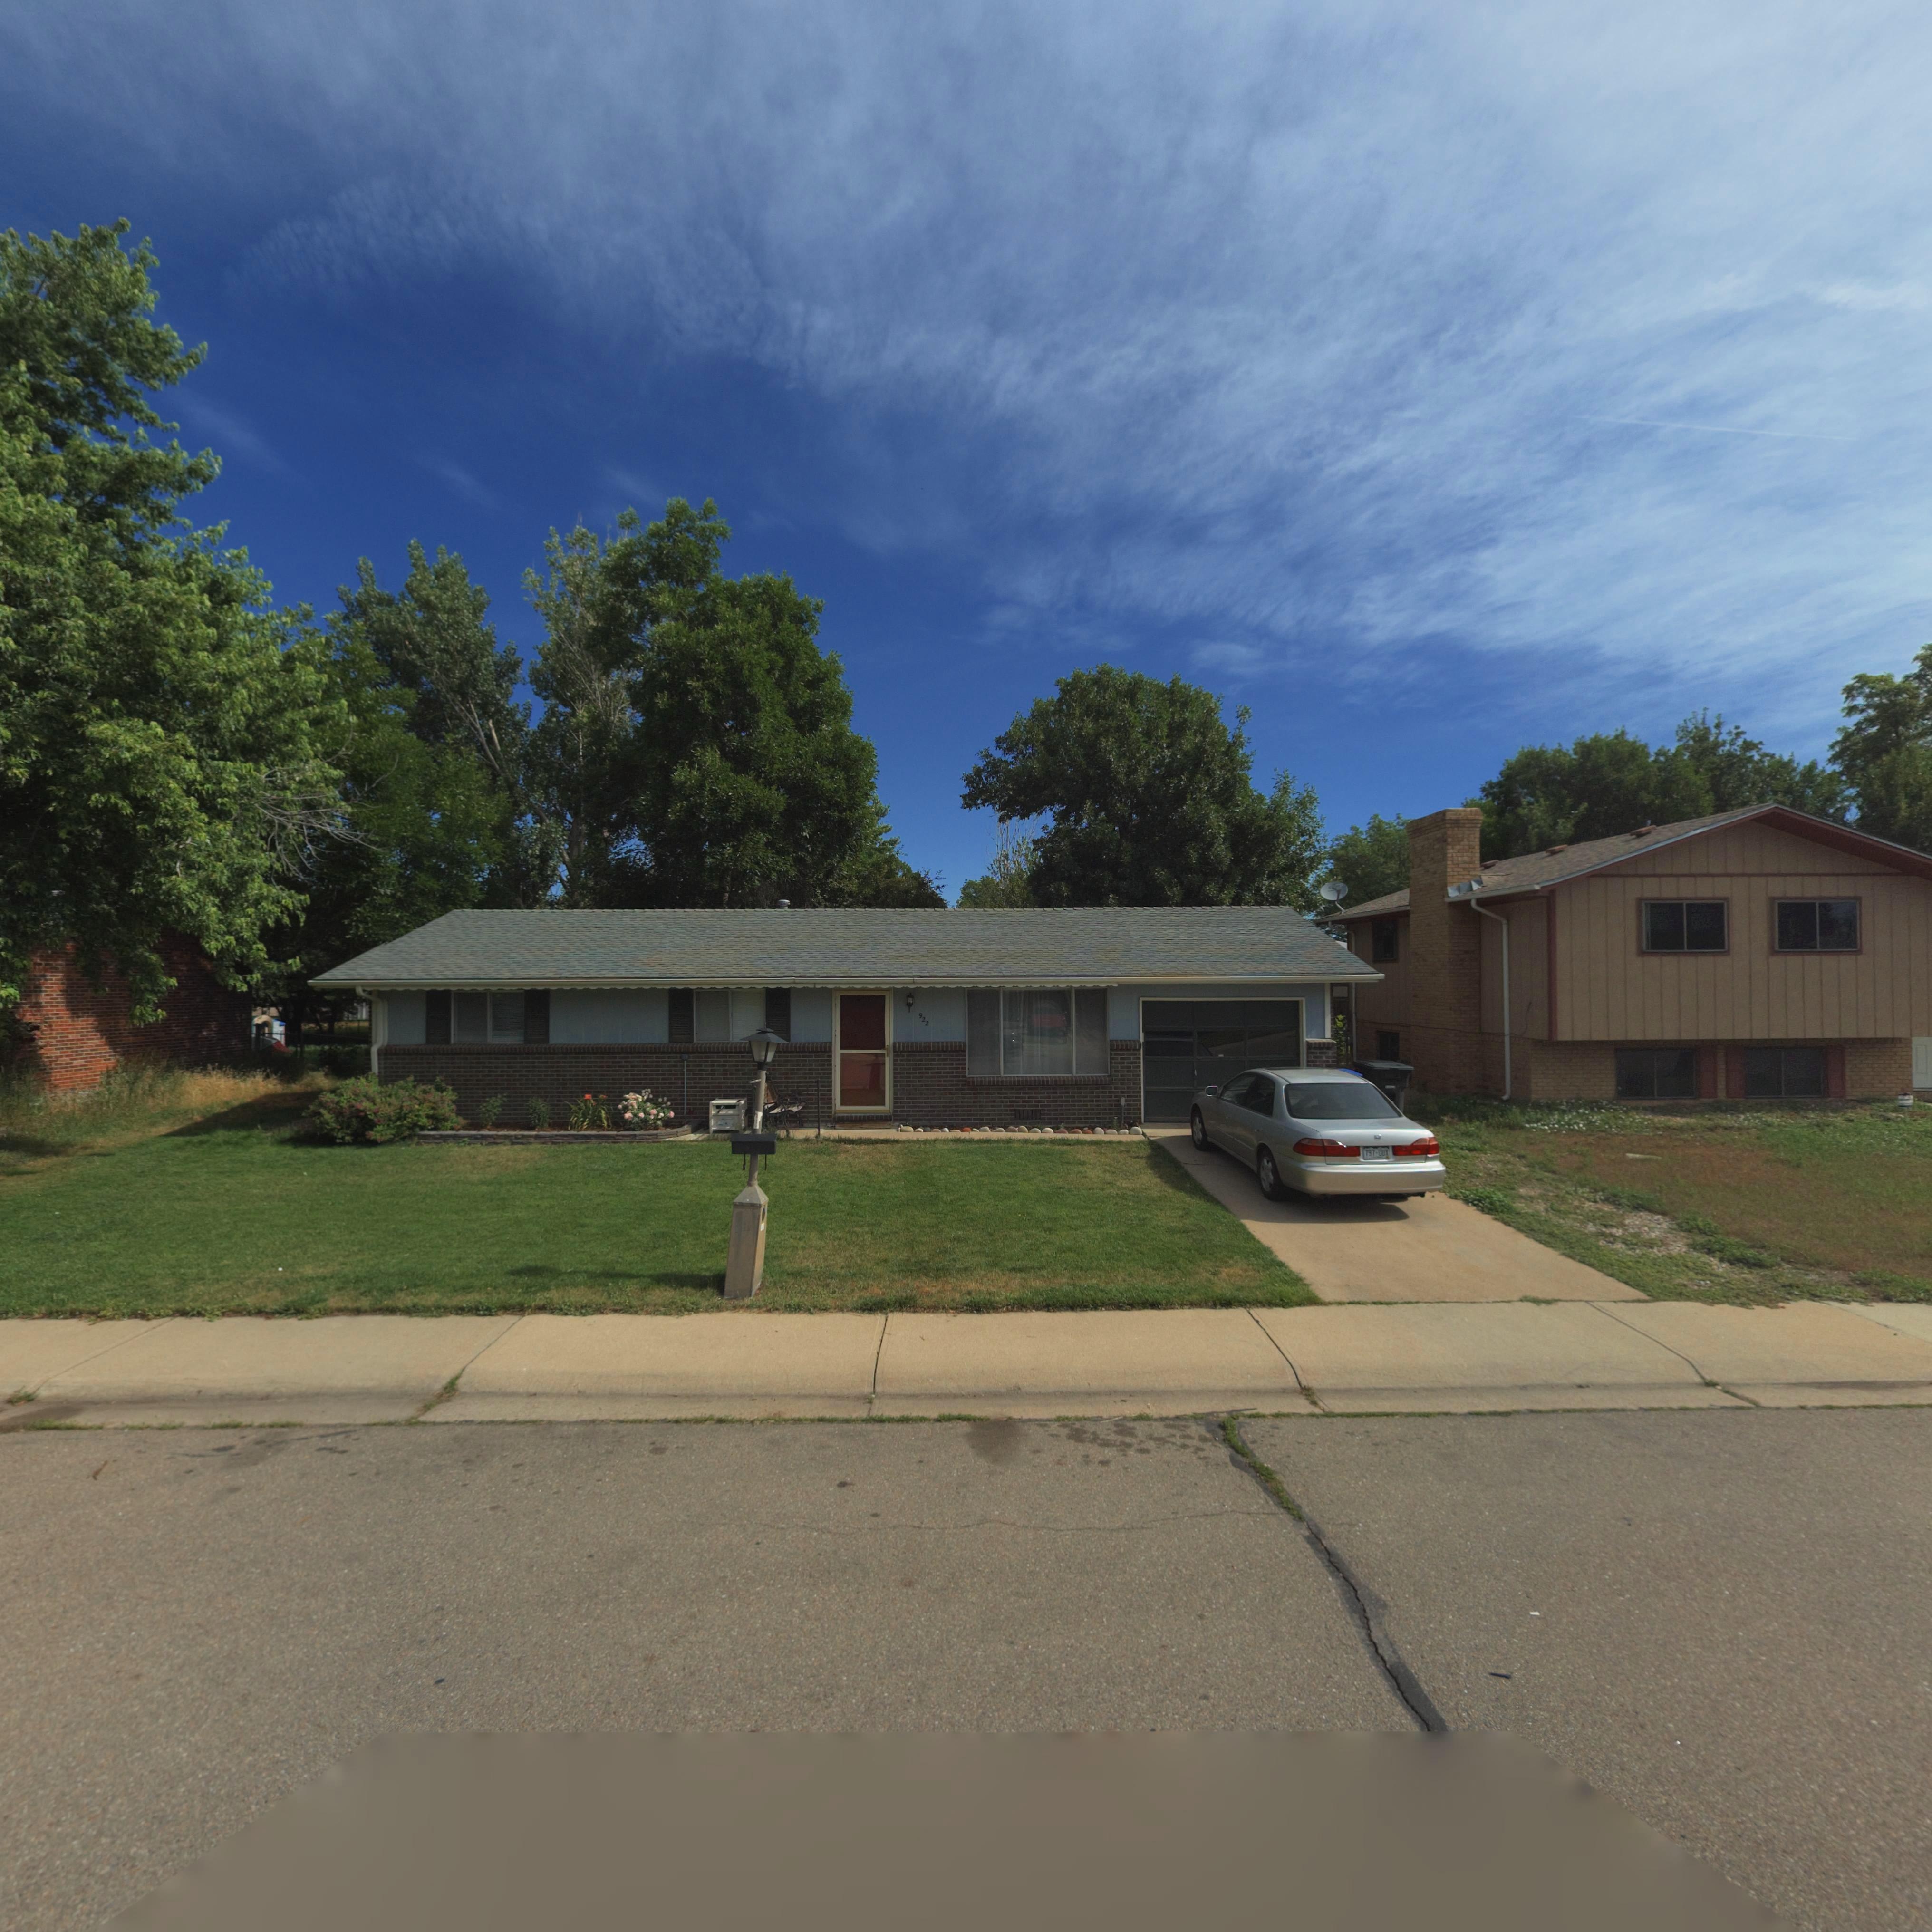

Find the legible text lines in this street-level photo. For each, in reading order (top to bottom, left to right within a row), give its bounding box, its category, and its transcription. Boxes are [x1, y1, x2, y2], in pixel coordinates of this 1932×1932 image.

[918, 1012, 929, 1026] StreetNumber: 922